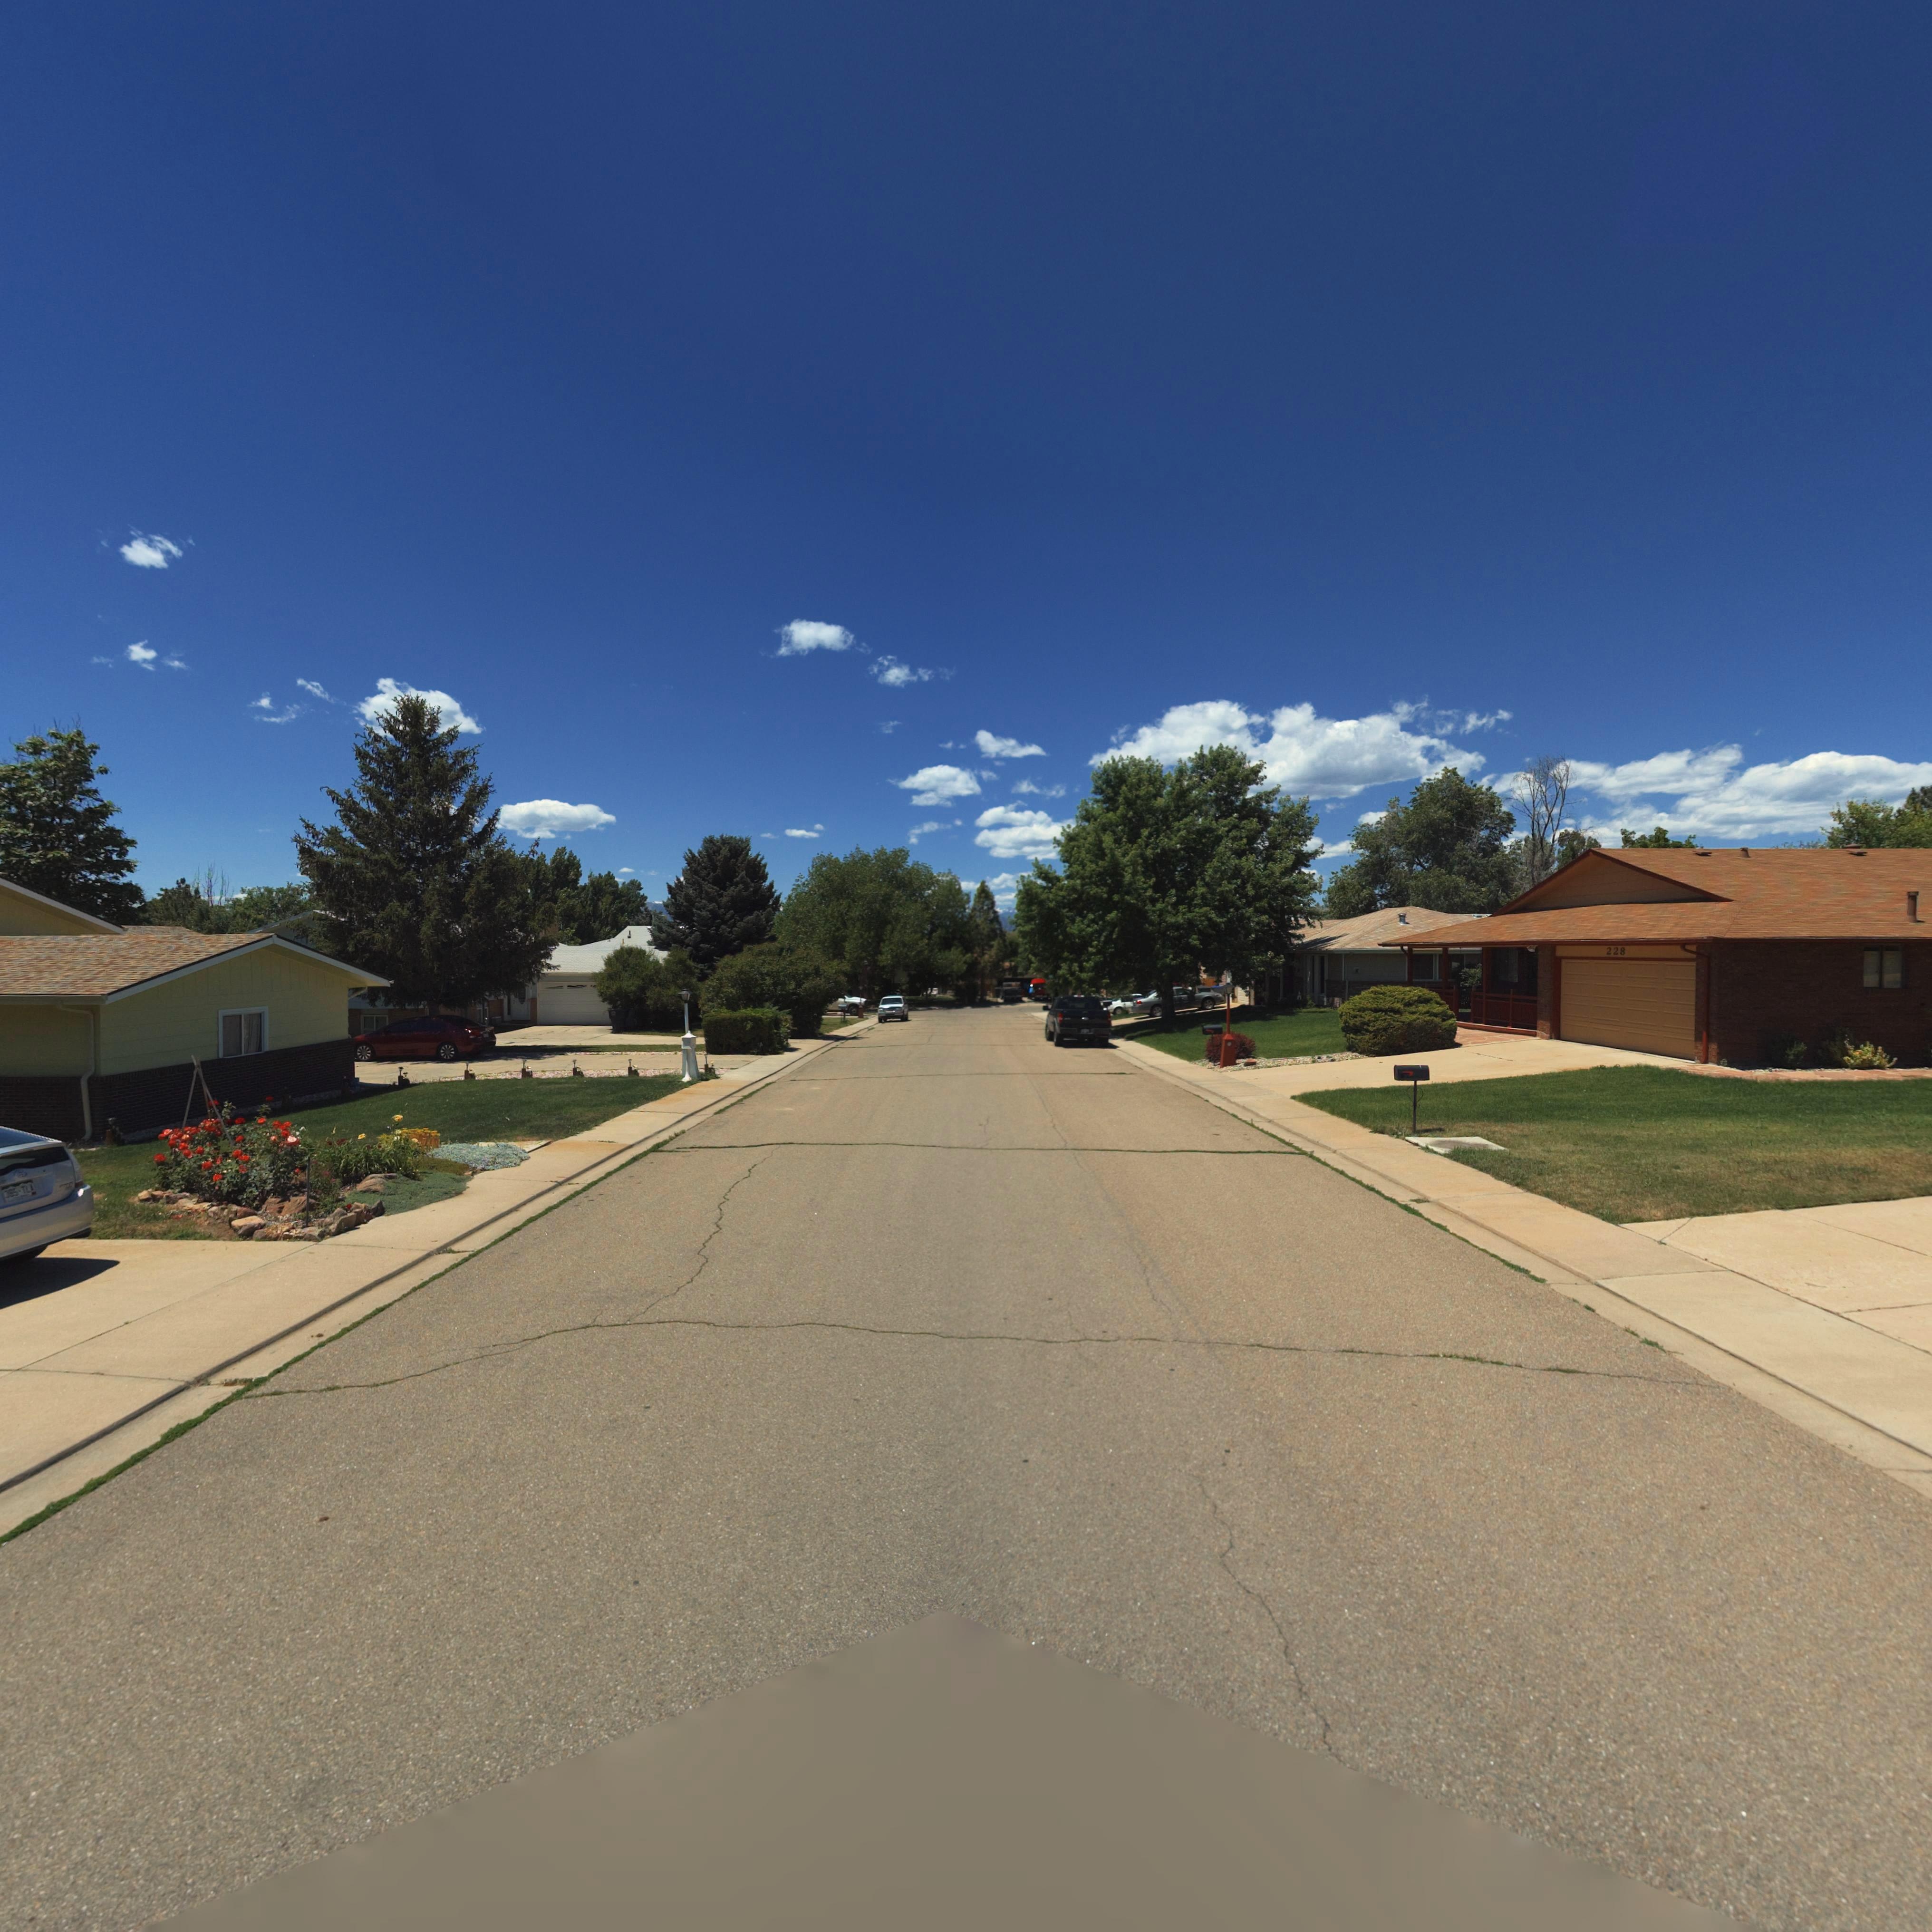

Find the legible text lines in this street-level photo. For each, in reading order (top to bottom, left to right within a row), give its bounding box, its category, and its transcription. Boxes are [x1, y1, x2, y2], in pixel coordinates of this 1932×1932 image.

[1606, 947, 1625, 955] StreetNumber: 228